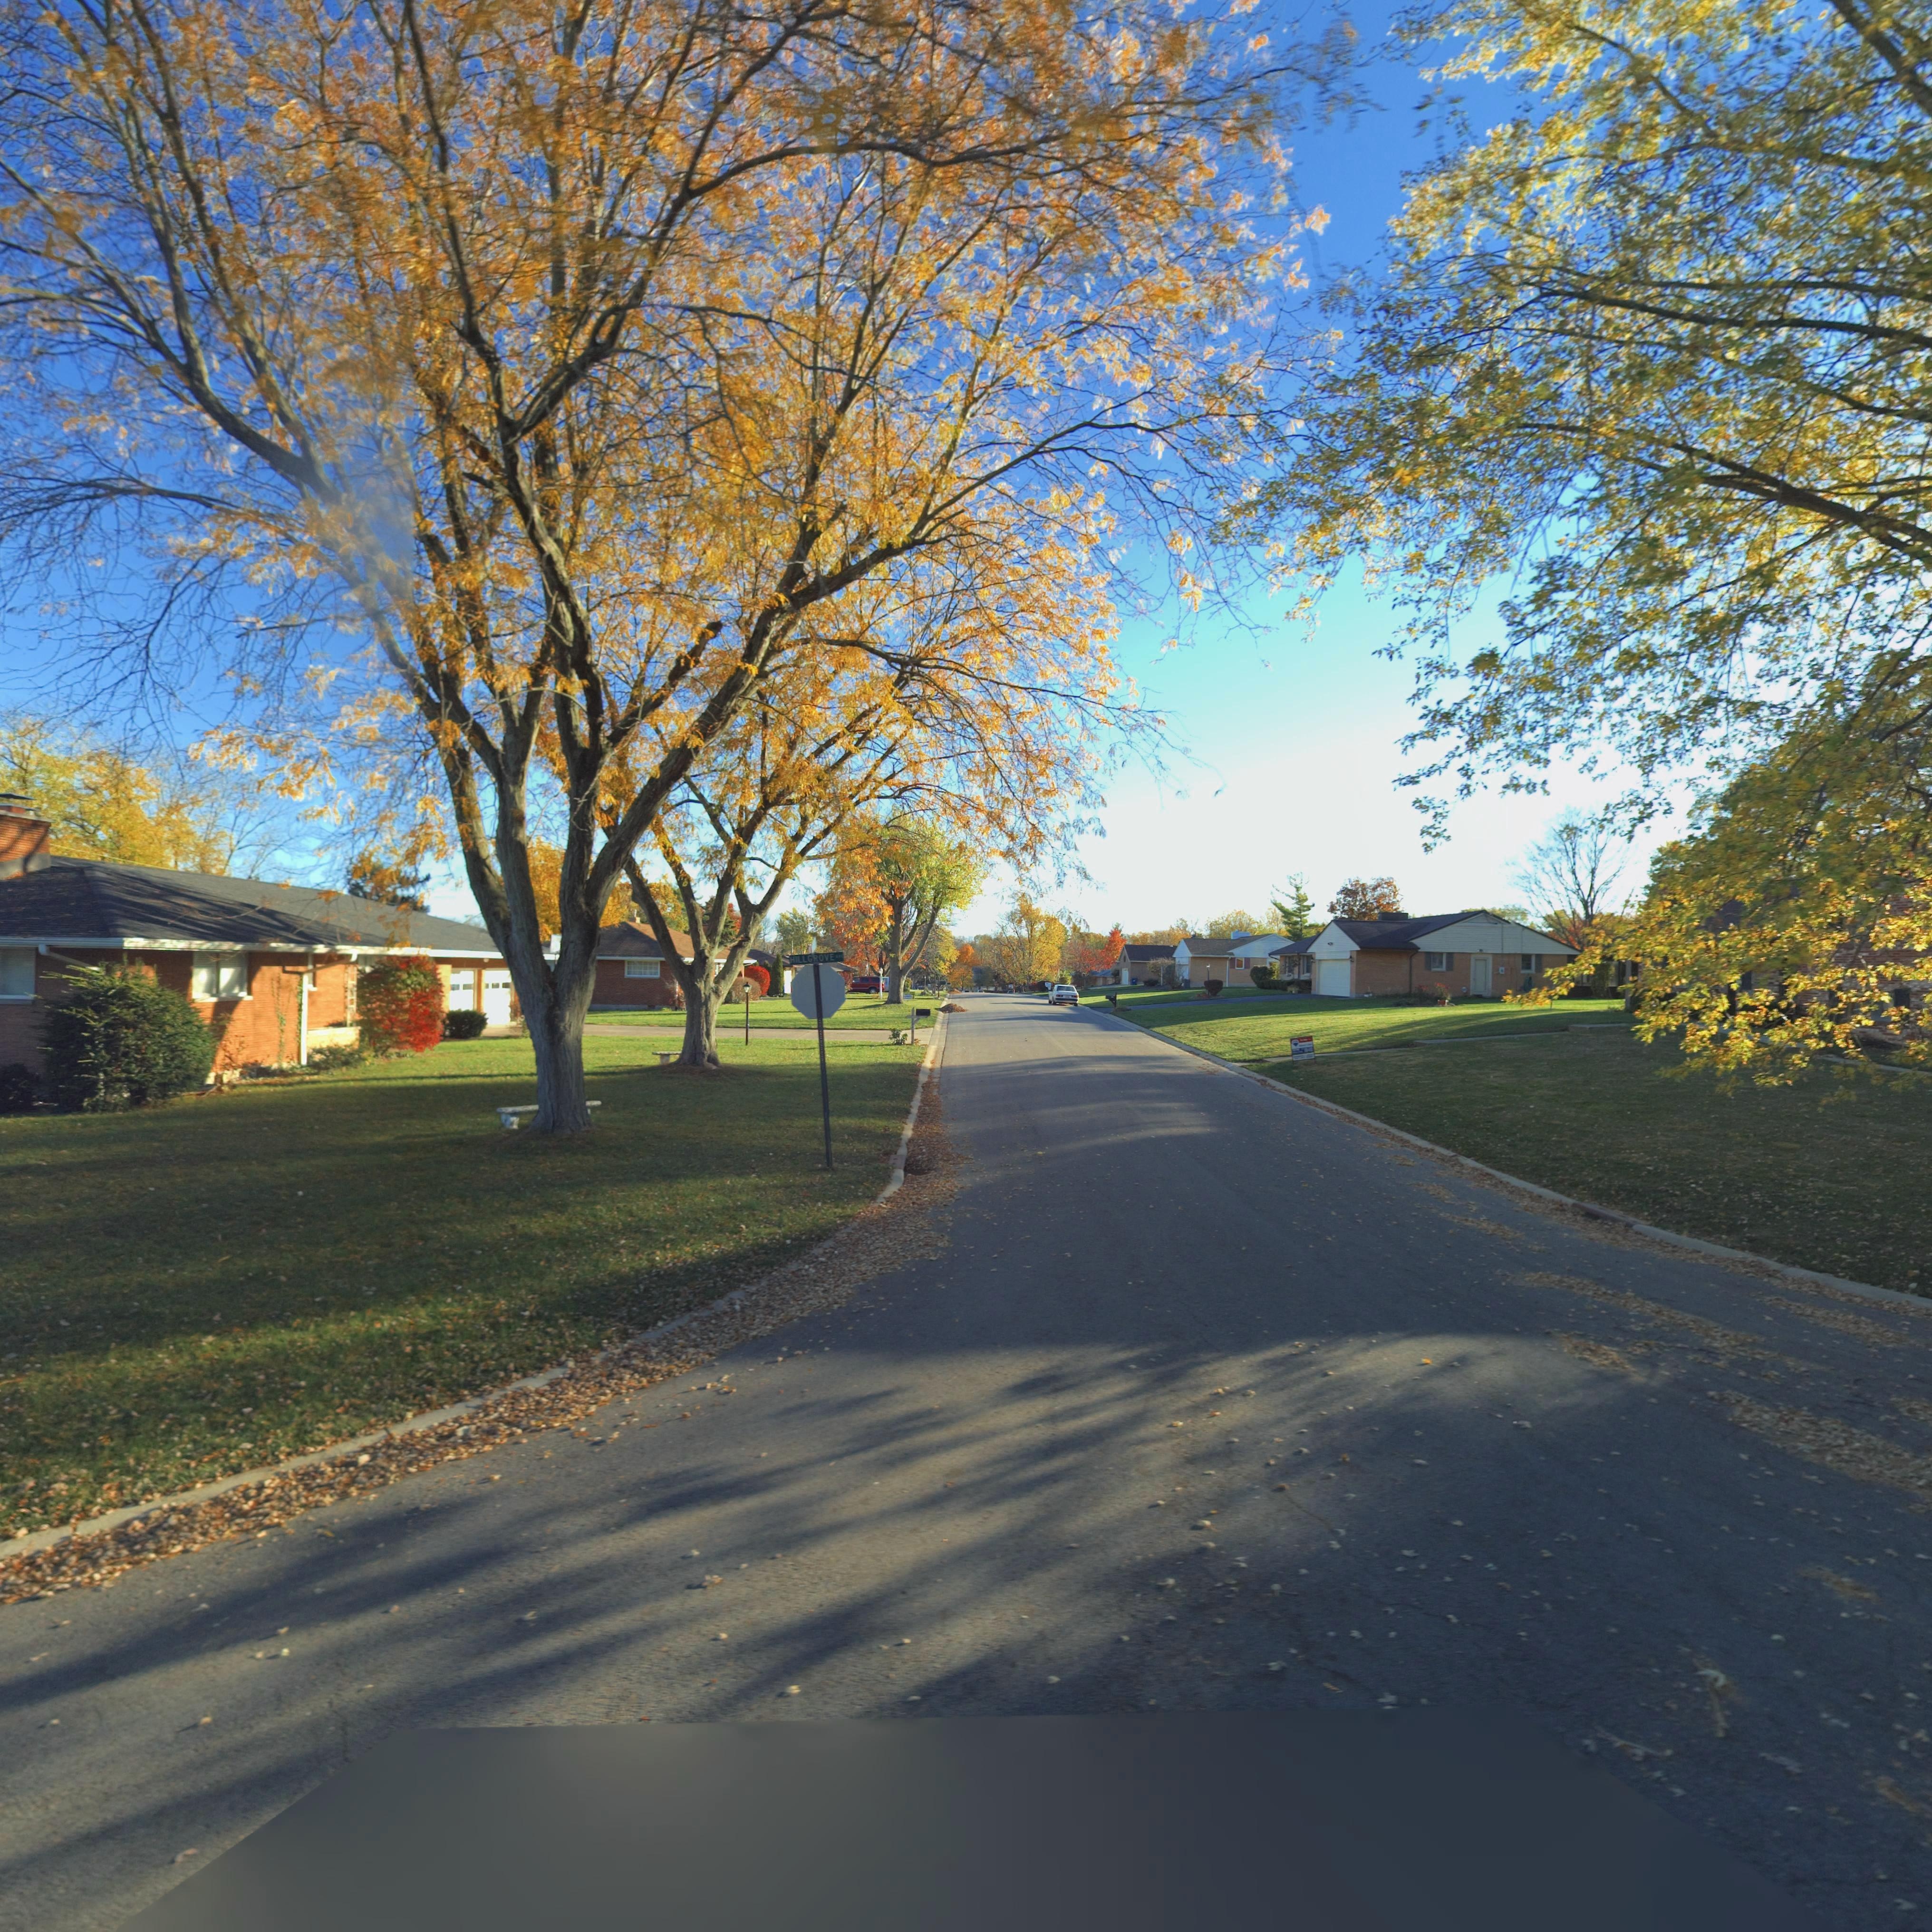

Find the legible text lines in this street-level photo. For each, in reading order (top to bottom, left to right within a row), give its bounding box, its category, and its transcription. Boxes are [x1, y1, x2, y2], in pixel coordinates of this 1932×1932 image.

[911, 1020, 914, 1033] StreetNumber: 5*70